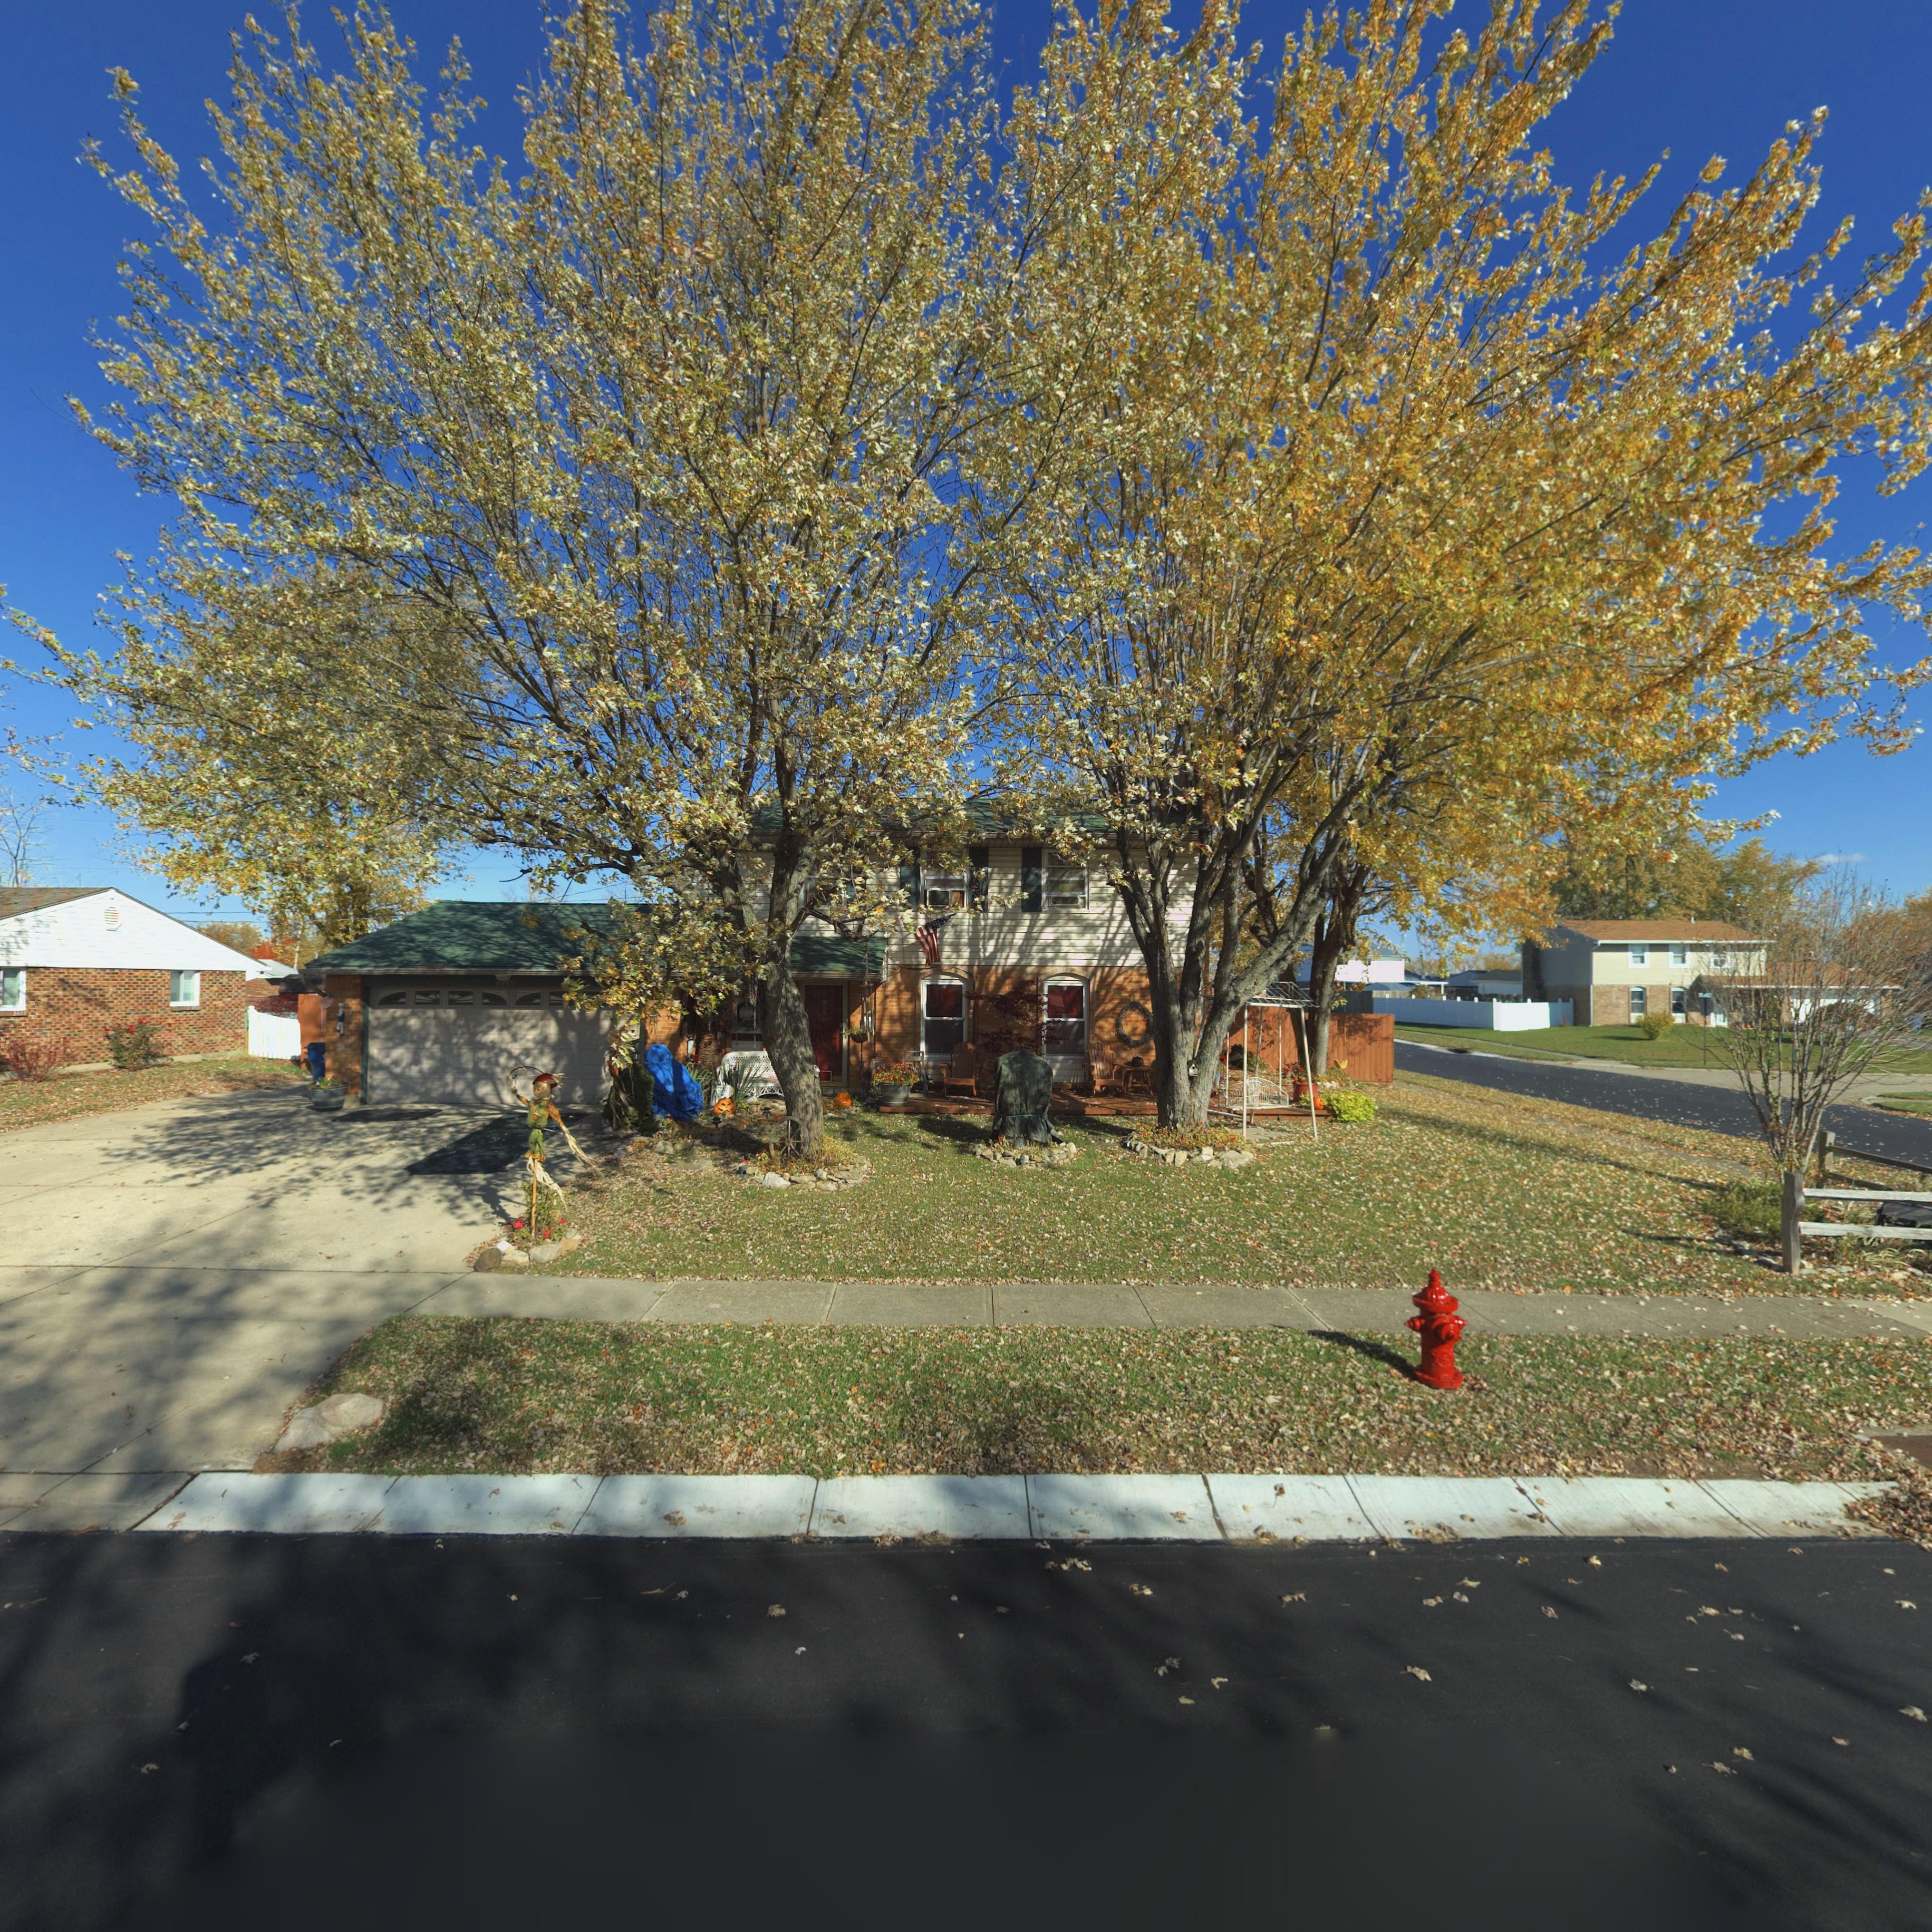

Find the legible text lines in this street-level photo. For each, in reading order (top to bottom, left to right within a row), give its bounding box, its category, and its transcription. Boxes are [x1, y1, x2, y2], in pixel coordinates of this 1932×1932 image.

[495, 979, 515, 987] StreetNumber: 6989